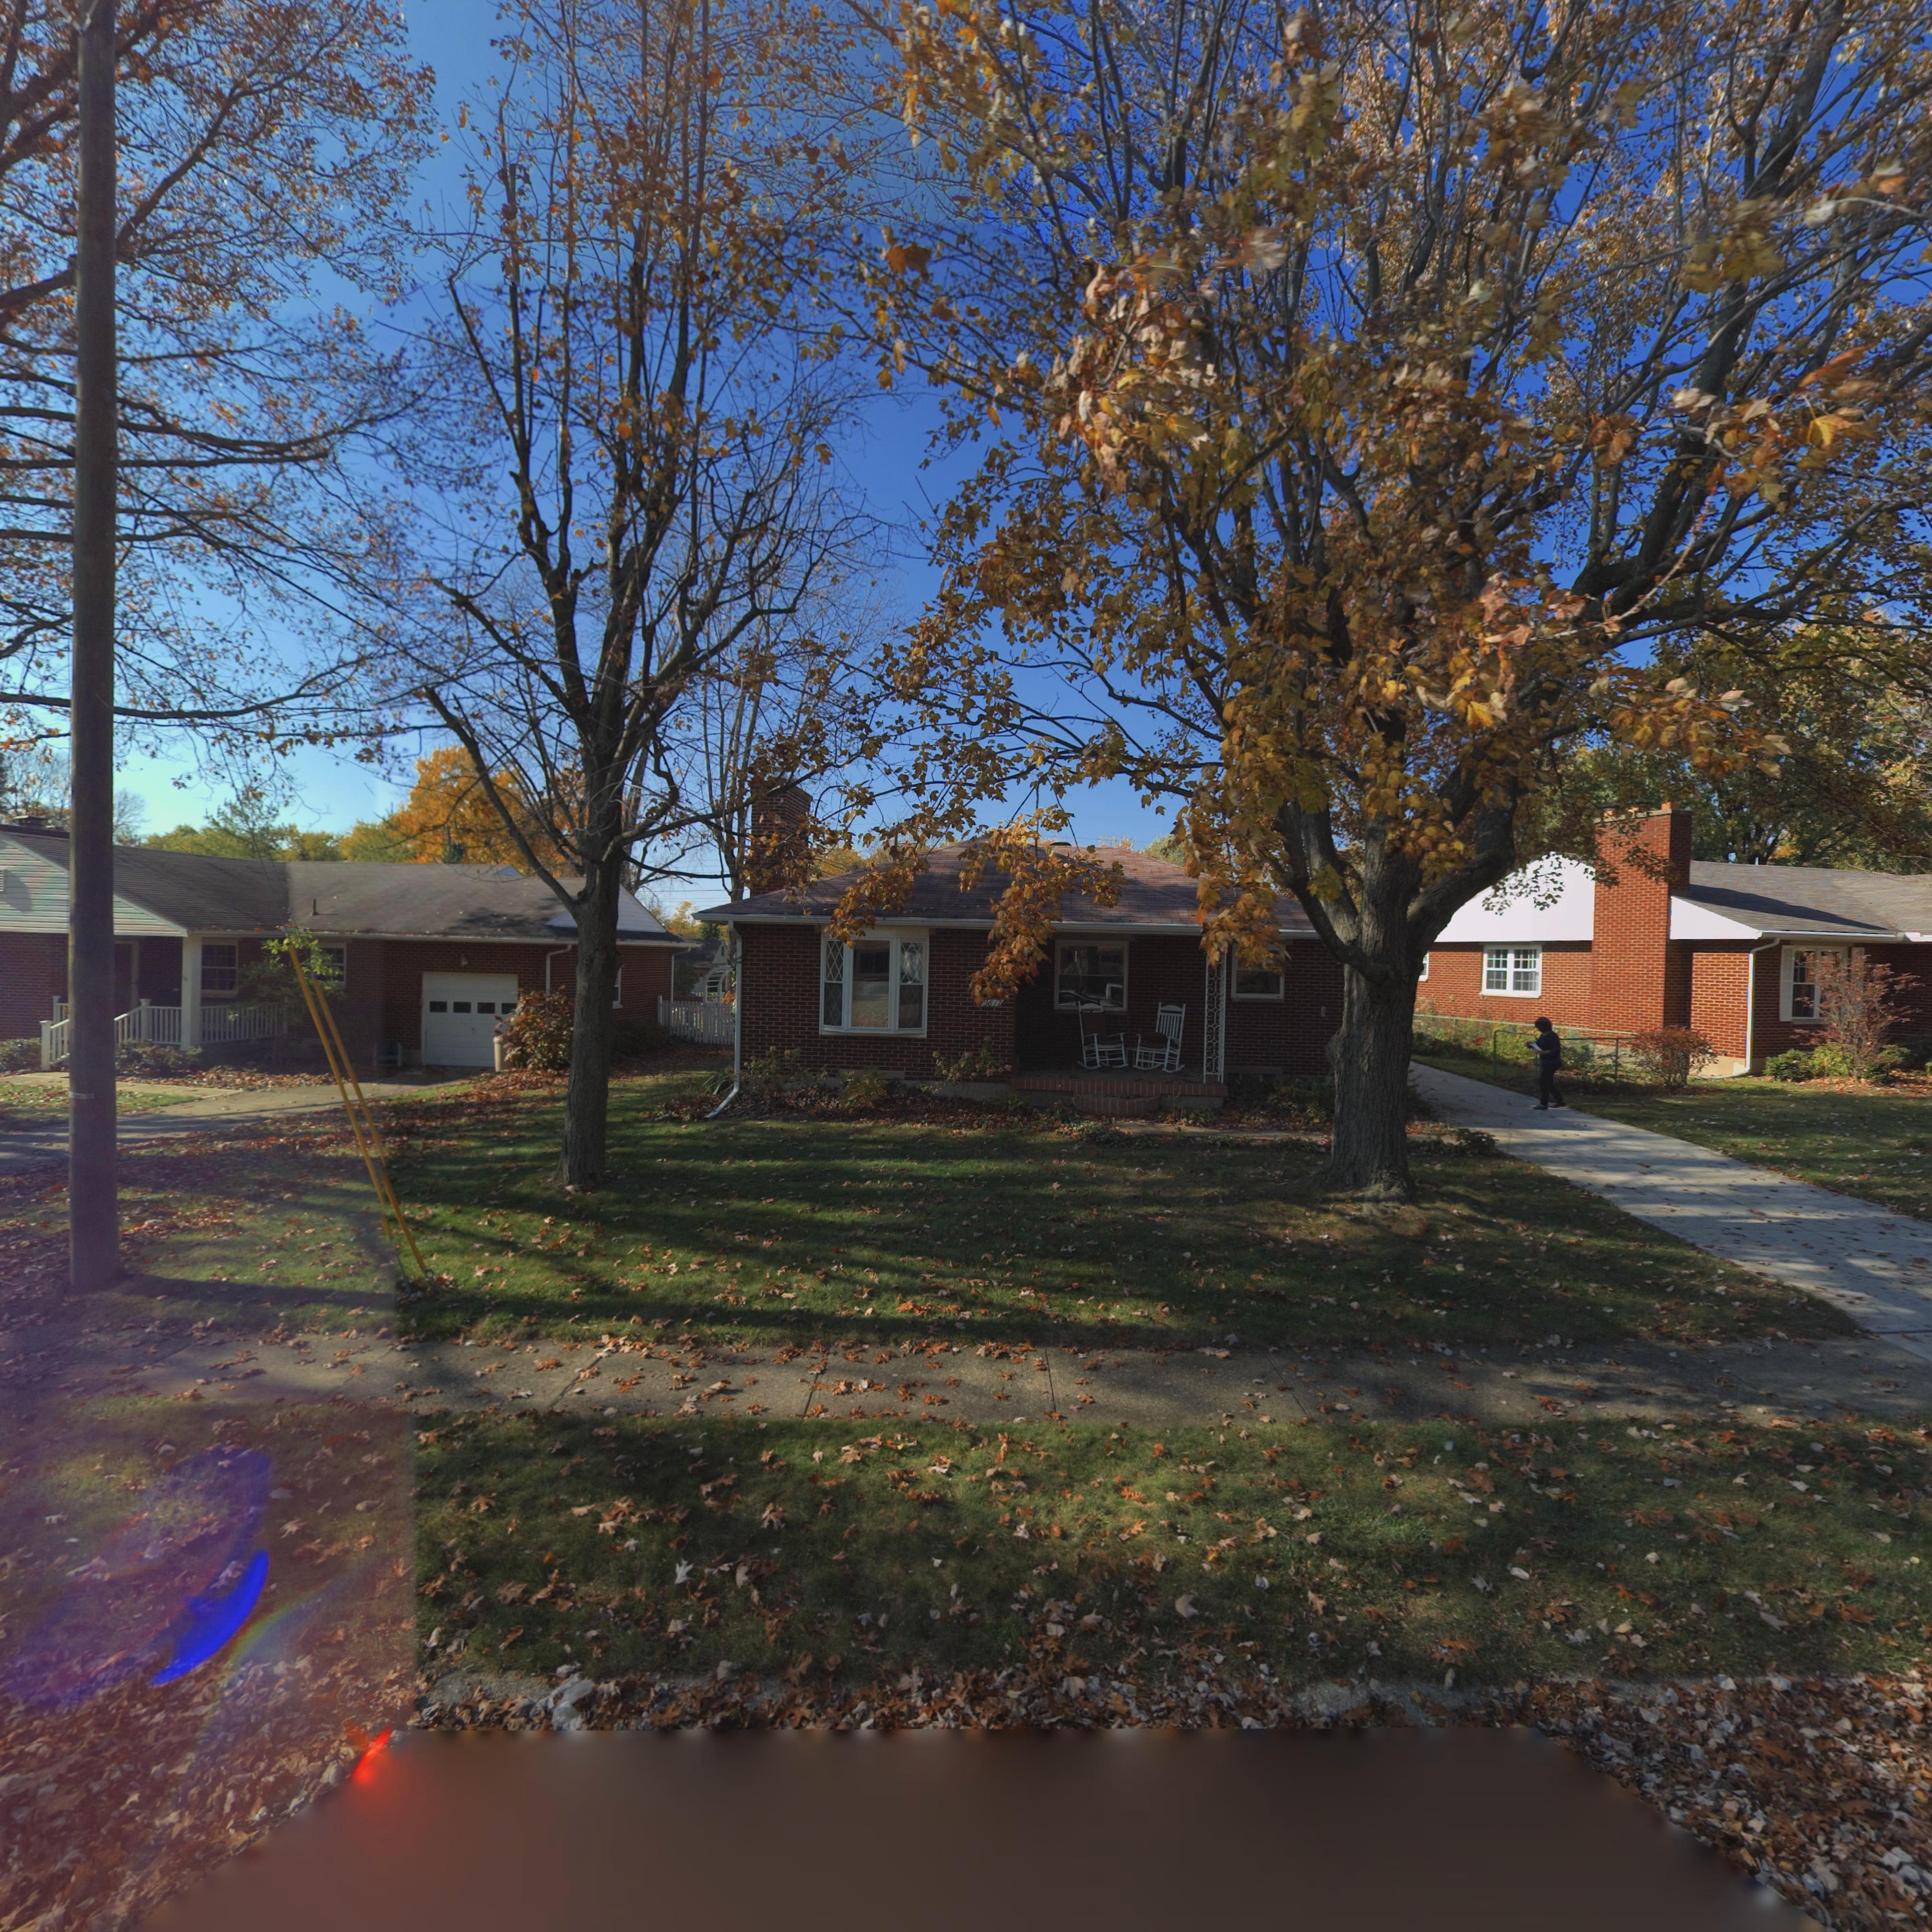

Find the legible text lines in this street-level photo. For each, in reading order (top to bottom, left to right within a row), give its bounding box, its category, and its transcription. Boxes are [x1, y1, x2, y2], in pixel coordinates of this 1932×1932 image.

[983, 999, 1003, 1007] StreetNumber: 3817